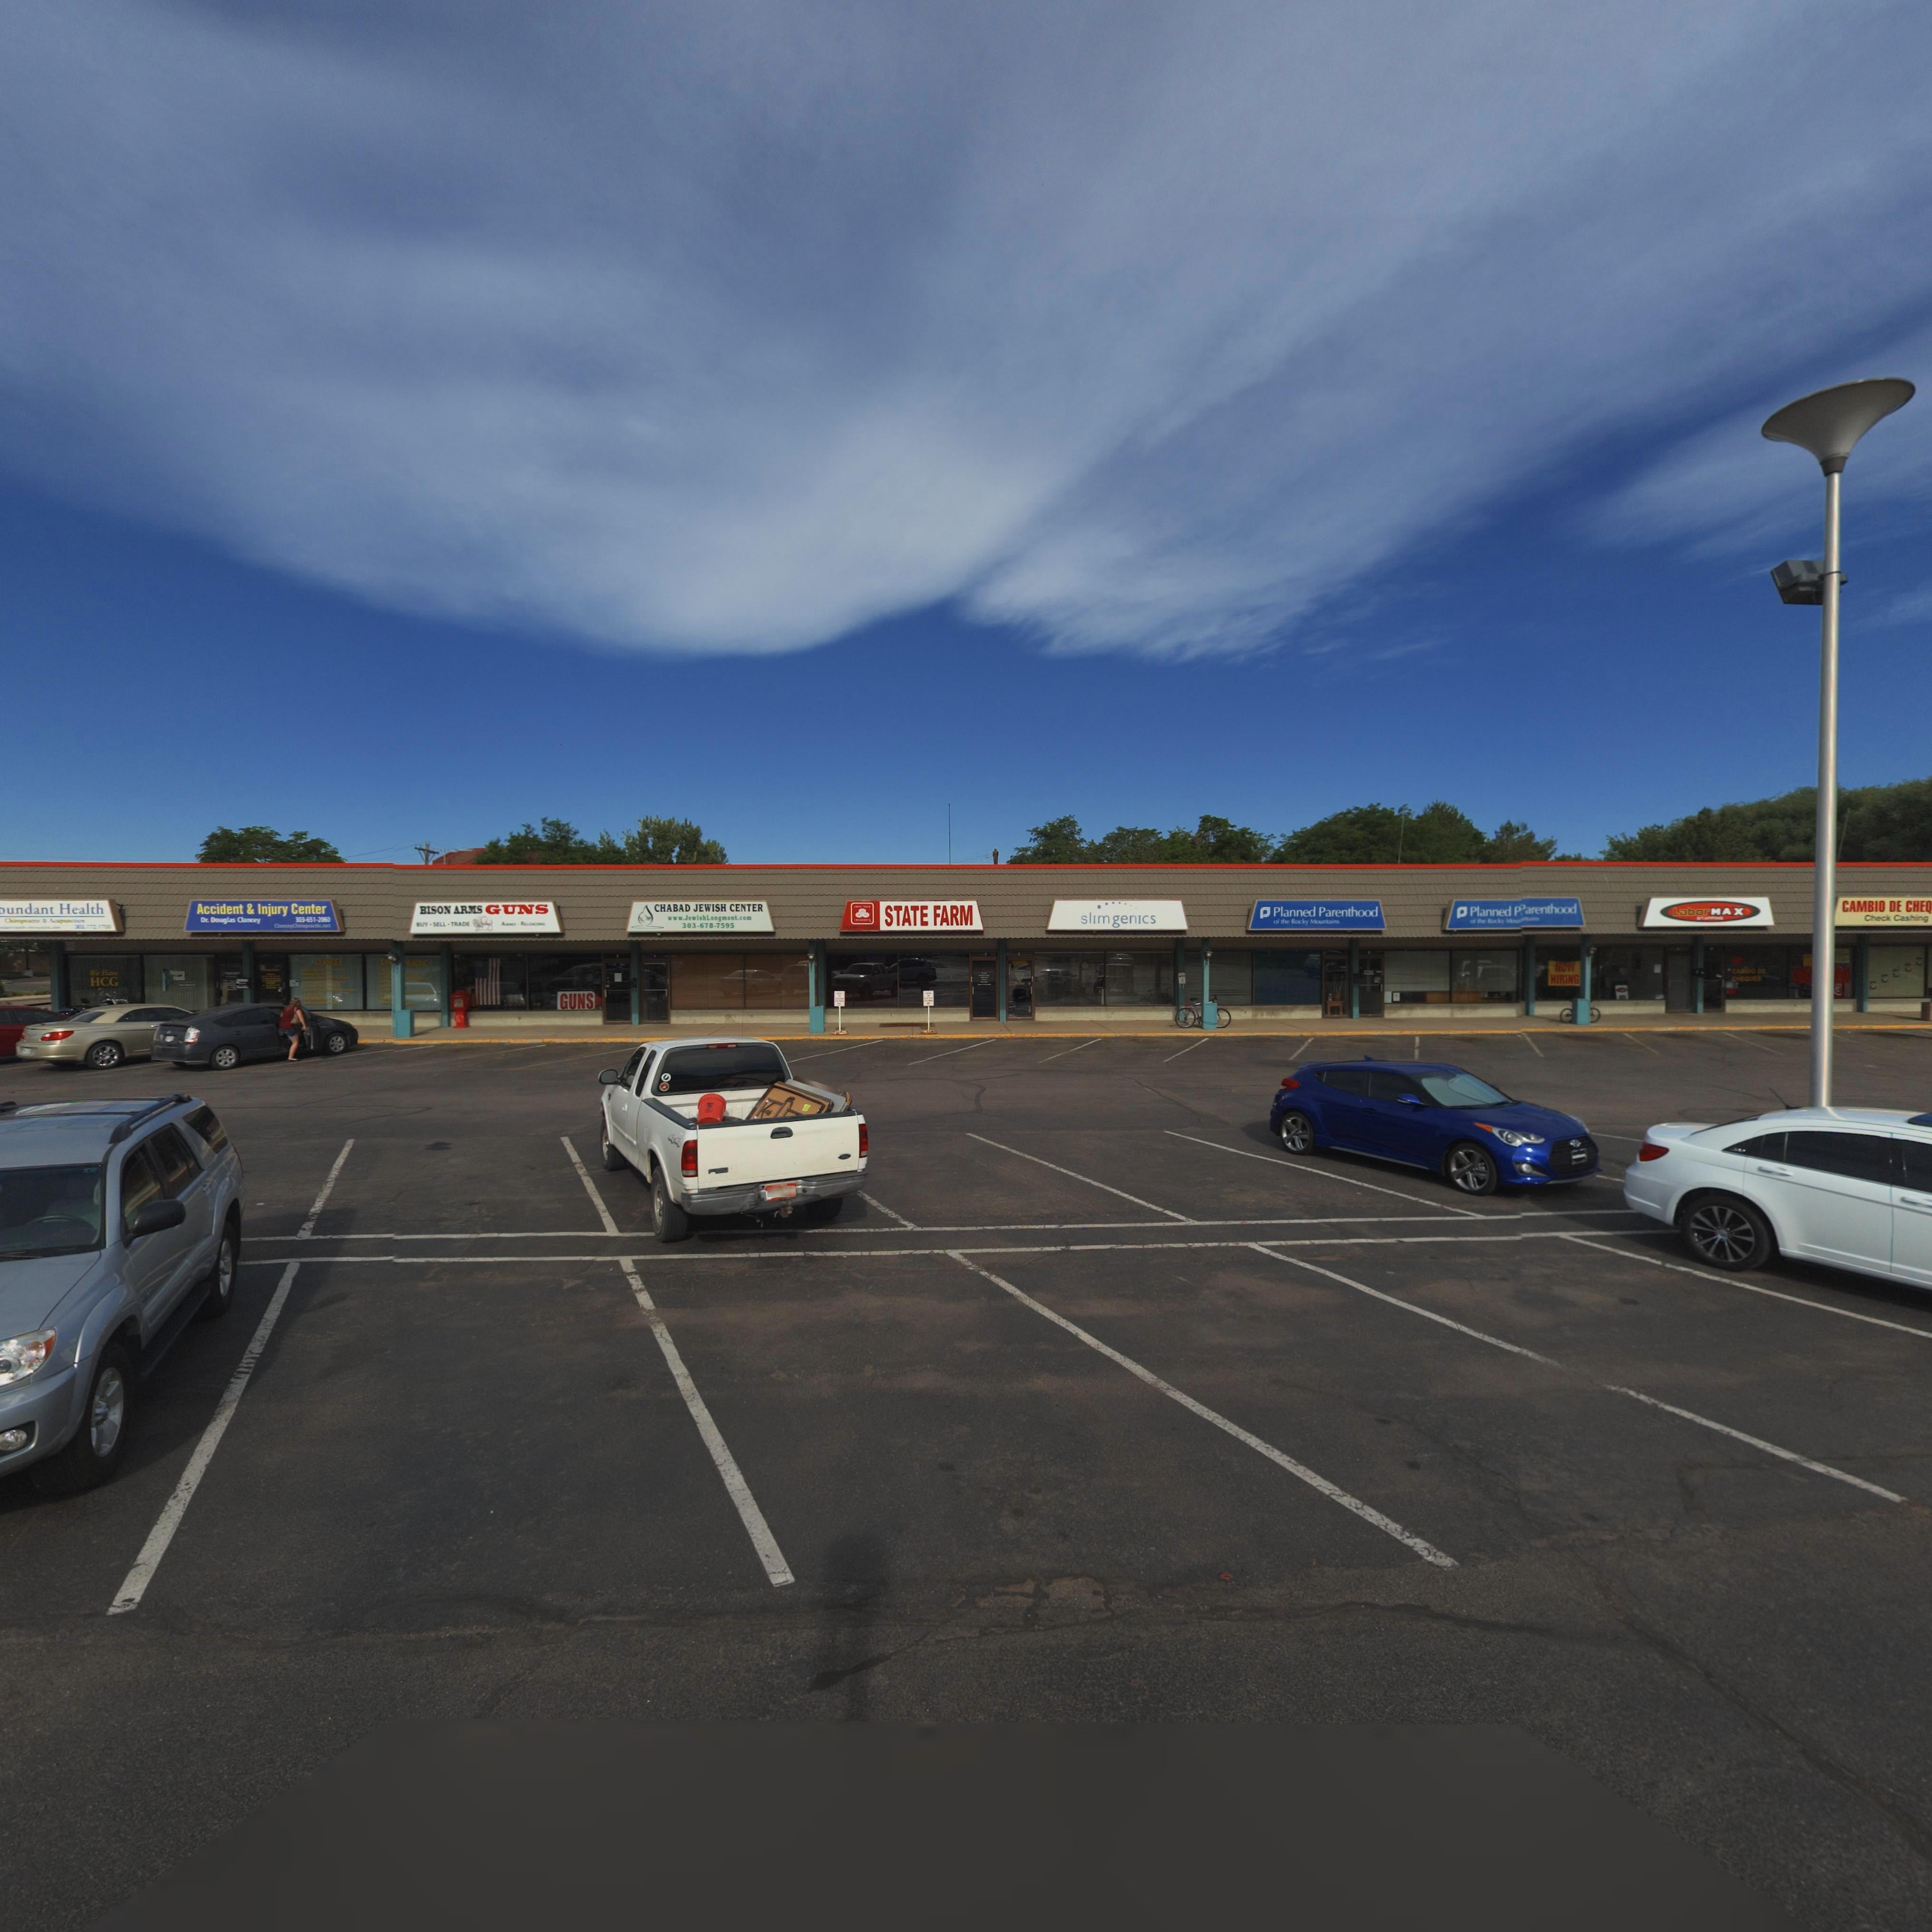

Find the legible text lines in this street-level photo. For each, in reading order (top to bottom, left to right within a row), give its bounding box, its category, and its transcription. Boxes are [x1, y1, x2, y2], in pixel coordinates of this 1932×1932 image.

[6, 901, 104, 915] BusinessName: undant Health
[196, 902, 328, 918] BusinessName: Accident & Injury Center
[419, 904, 550, 916] BusinessName: BISON ARMS GUNS
[653, 903, 763, 913] BusinessName: CHABAD JEWISH CENTER
[883, 904, 973, 927] BusinessName: STATE FARM
[1080, 911, 1157, 928] BusinessName: slimgenics
[1273, 905, 1378, 917] BusinessName: Planned Parenthood
[1469, 902, 1577, 917] BusinessName: Planned P*arenthood
[1673, 907, 1744, 916] BusinessName: LaborMAX
[1841, 900, 1926, 913] BusinessName: CAMBIO DE CHE
[1731, 968, 1767, 974] BusinessName: CA***O DE
[1731, 976, 1762, 981] BusinessName: CHEQUES